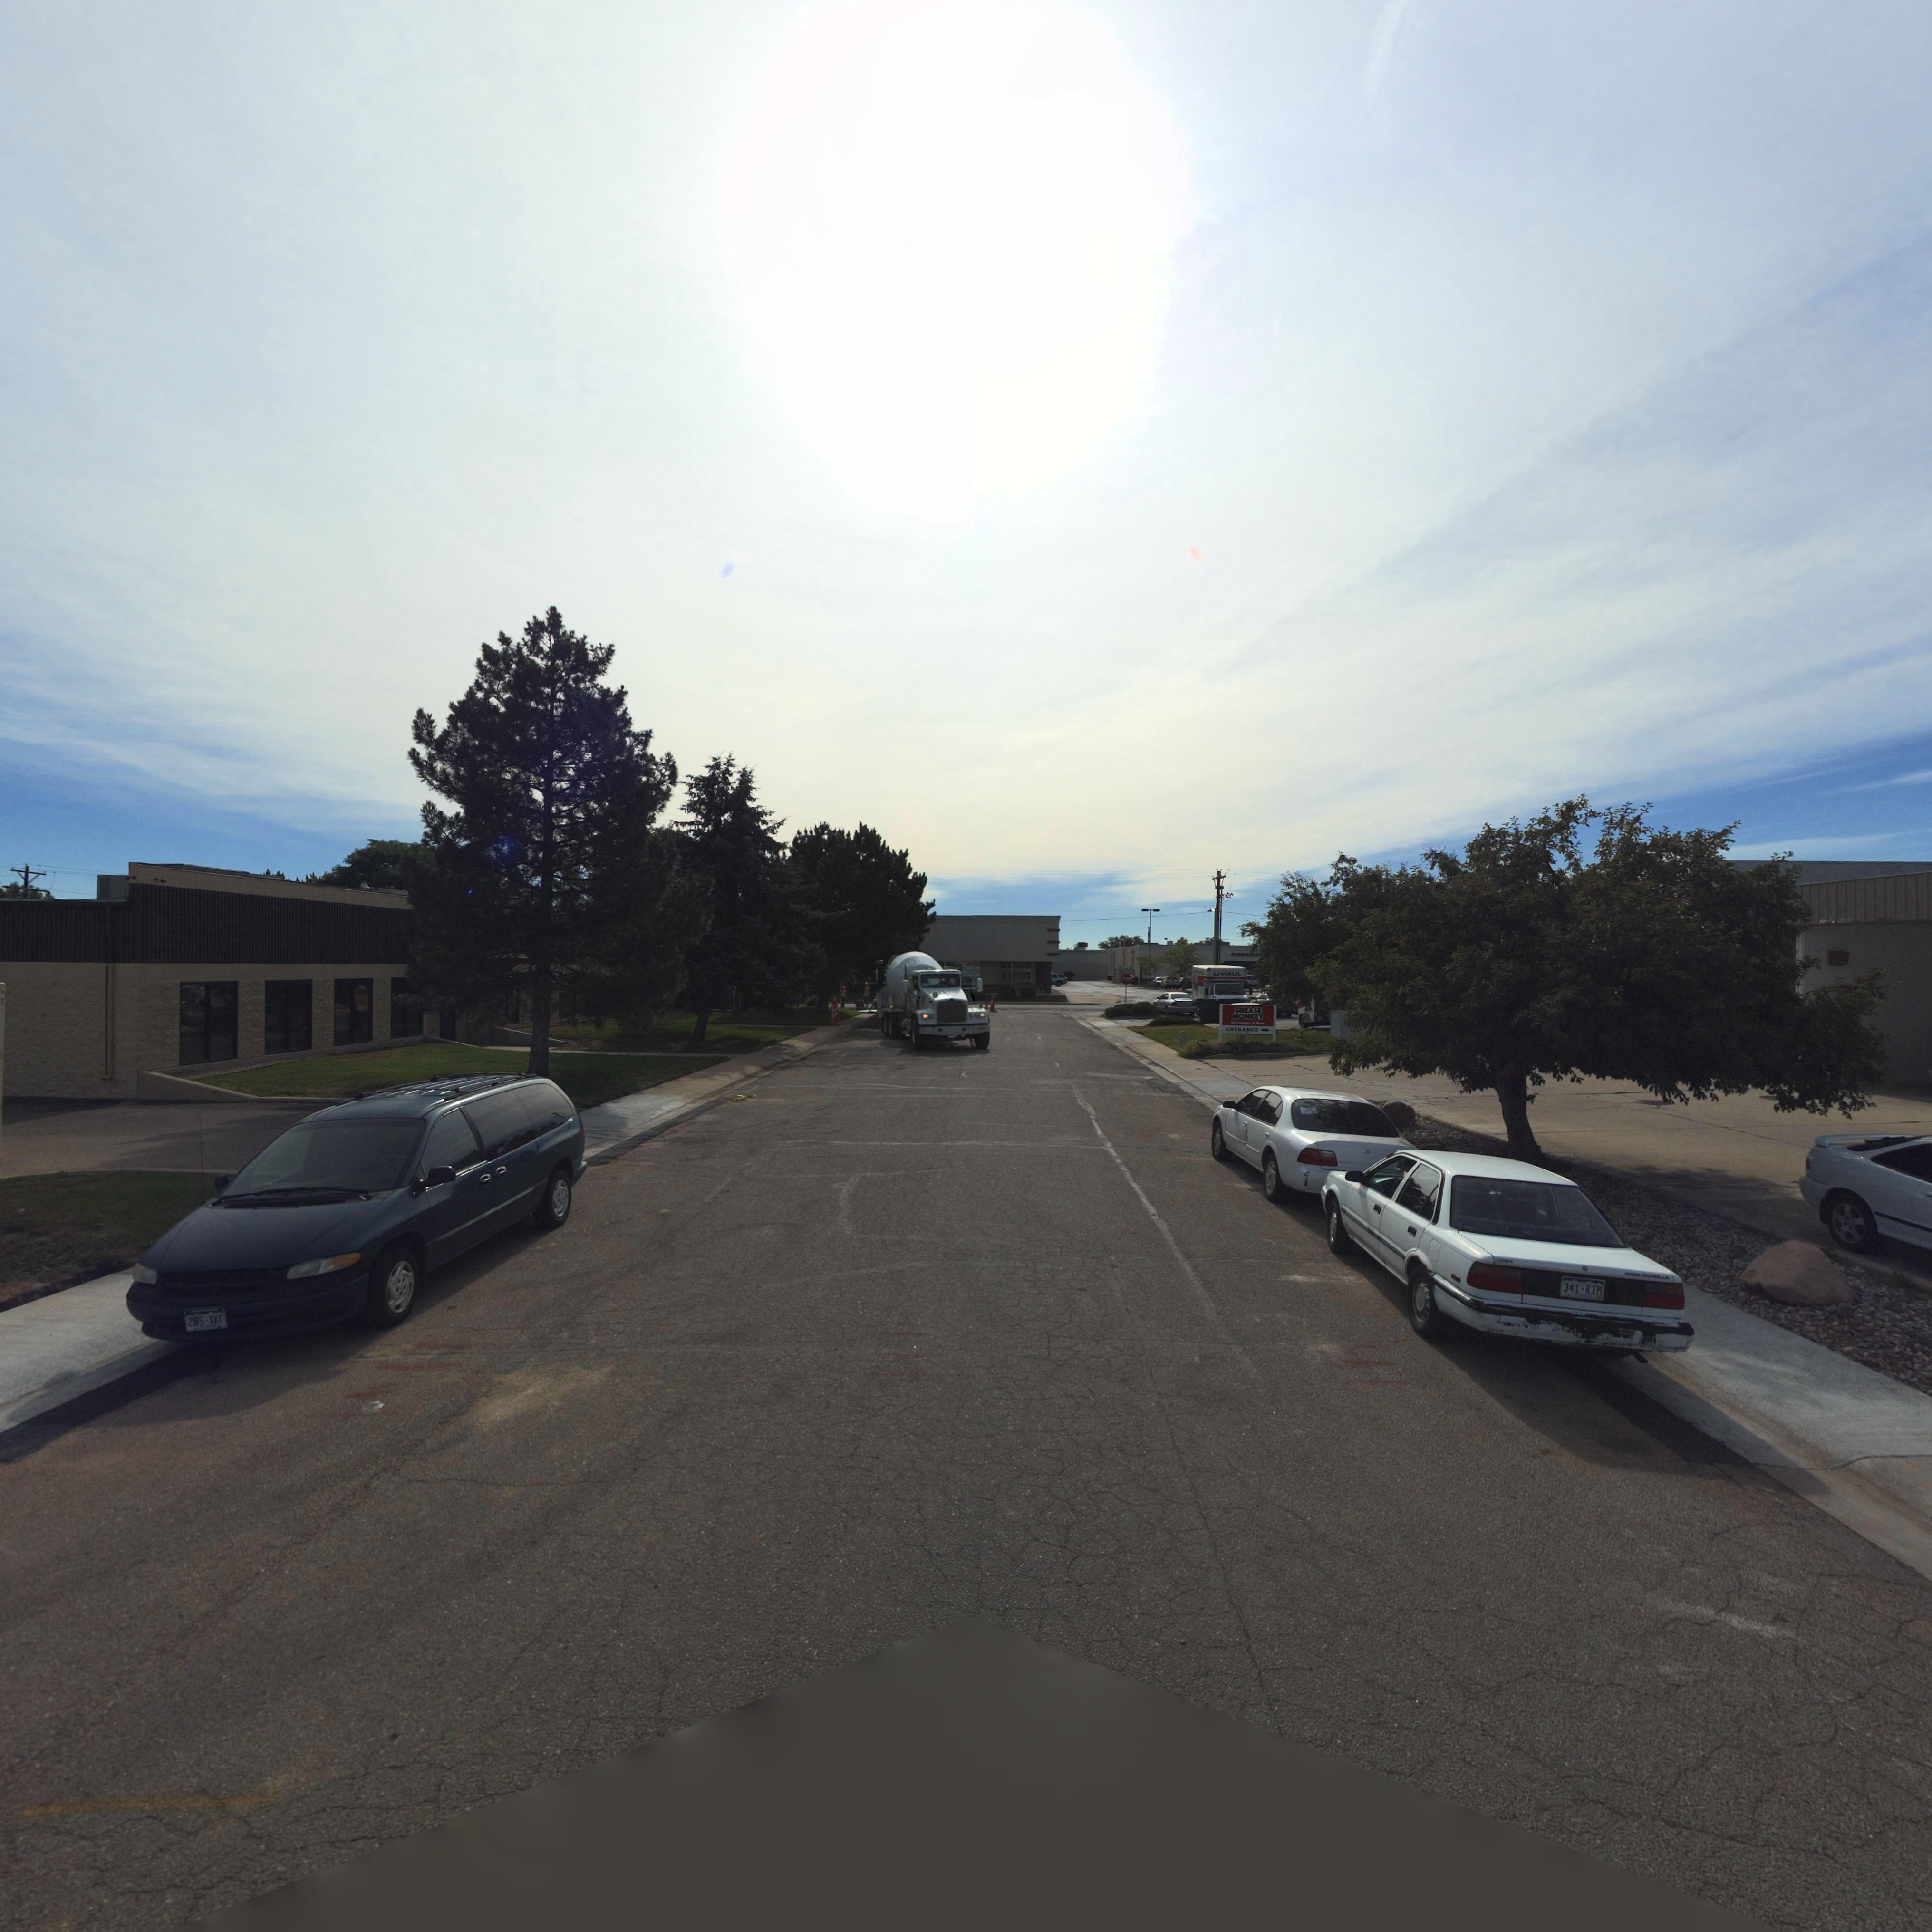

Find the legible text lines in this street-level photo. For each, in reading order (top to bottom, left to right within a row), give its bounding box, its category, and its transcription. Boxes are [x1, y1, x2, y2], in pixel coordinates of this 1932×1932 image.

[1230, 952, 1262, 957] BusinessName: STA***C**
[1234, 1007, 1262, 1013] BusinessName: GREASE
[1231, 1013, 1264, 1020] BusinessName: MONKEY